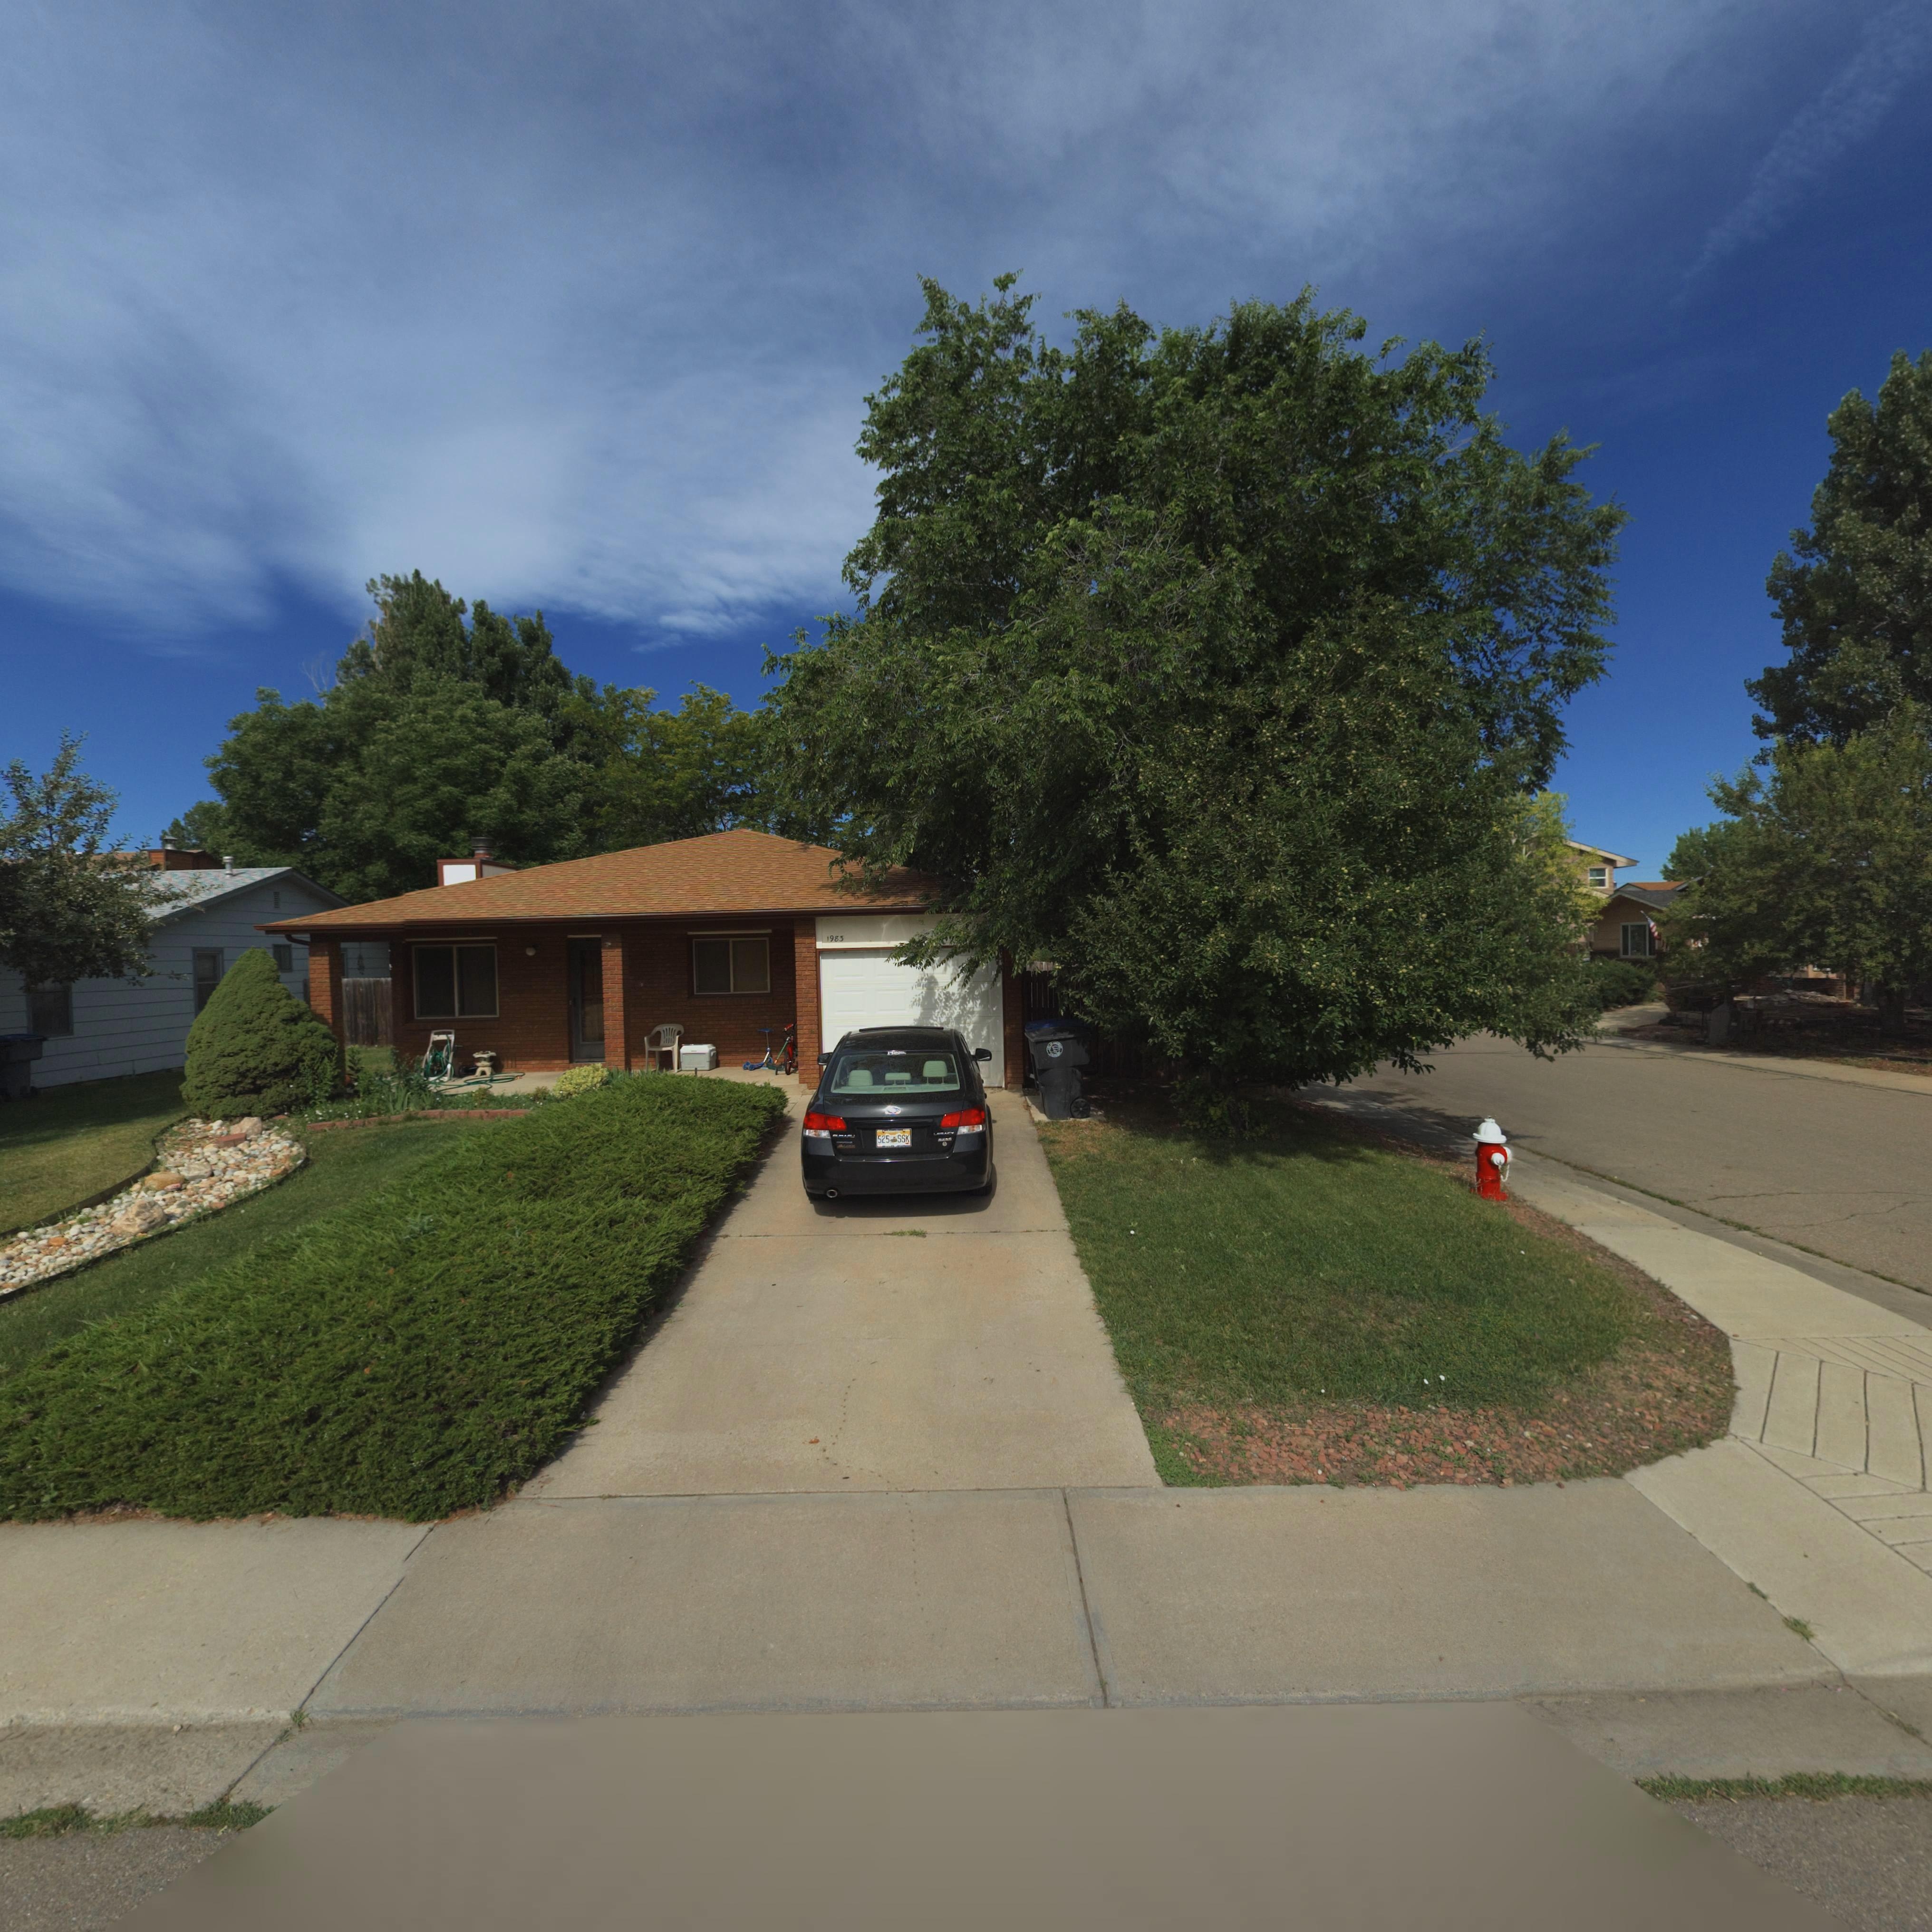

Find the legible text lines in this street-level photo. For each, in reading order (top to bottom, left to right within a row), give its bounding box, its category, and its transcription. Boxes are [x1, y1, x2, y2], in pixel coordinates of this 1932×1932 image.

[827, 935, 844, 942] StreetNumber: 1983